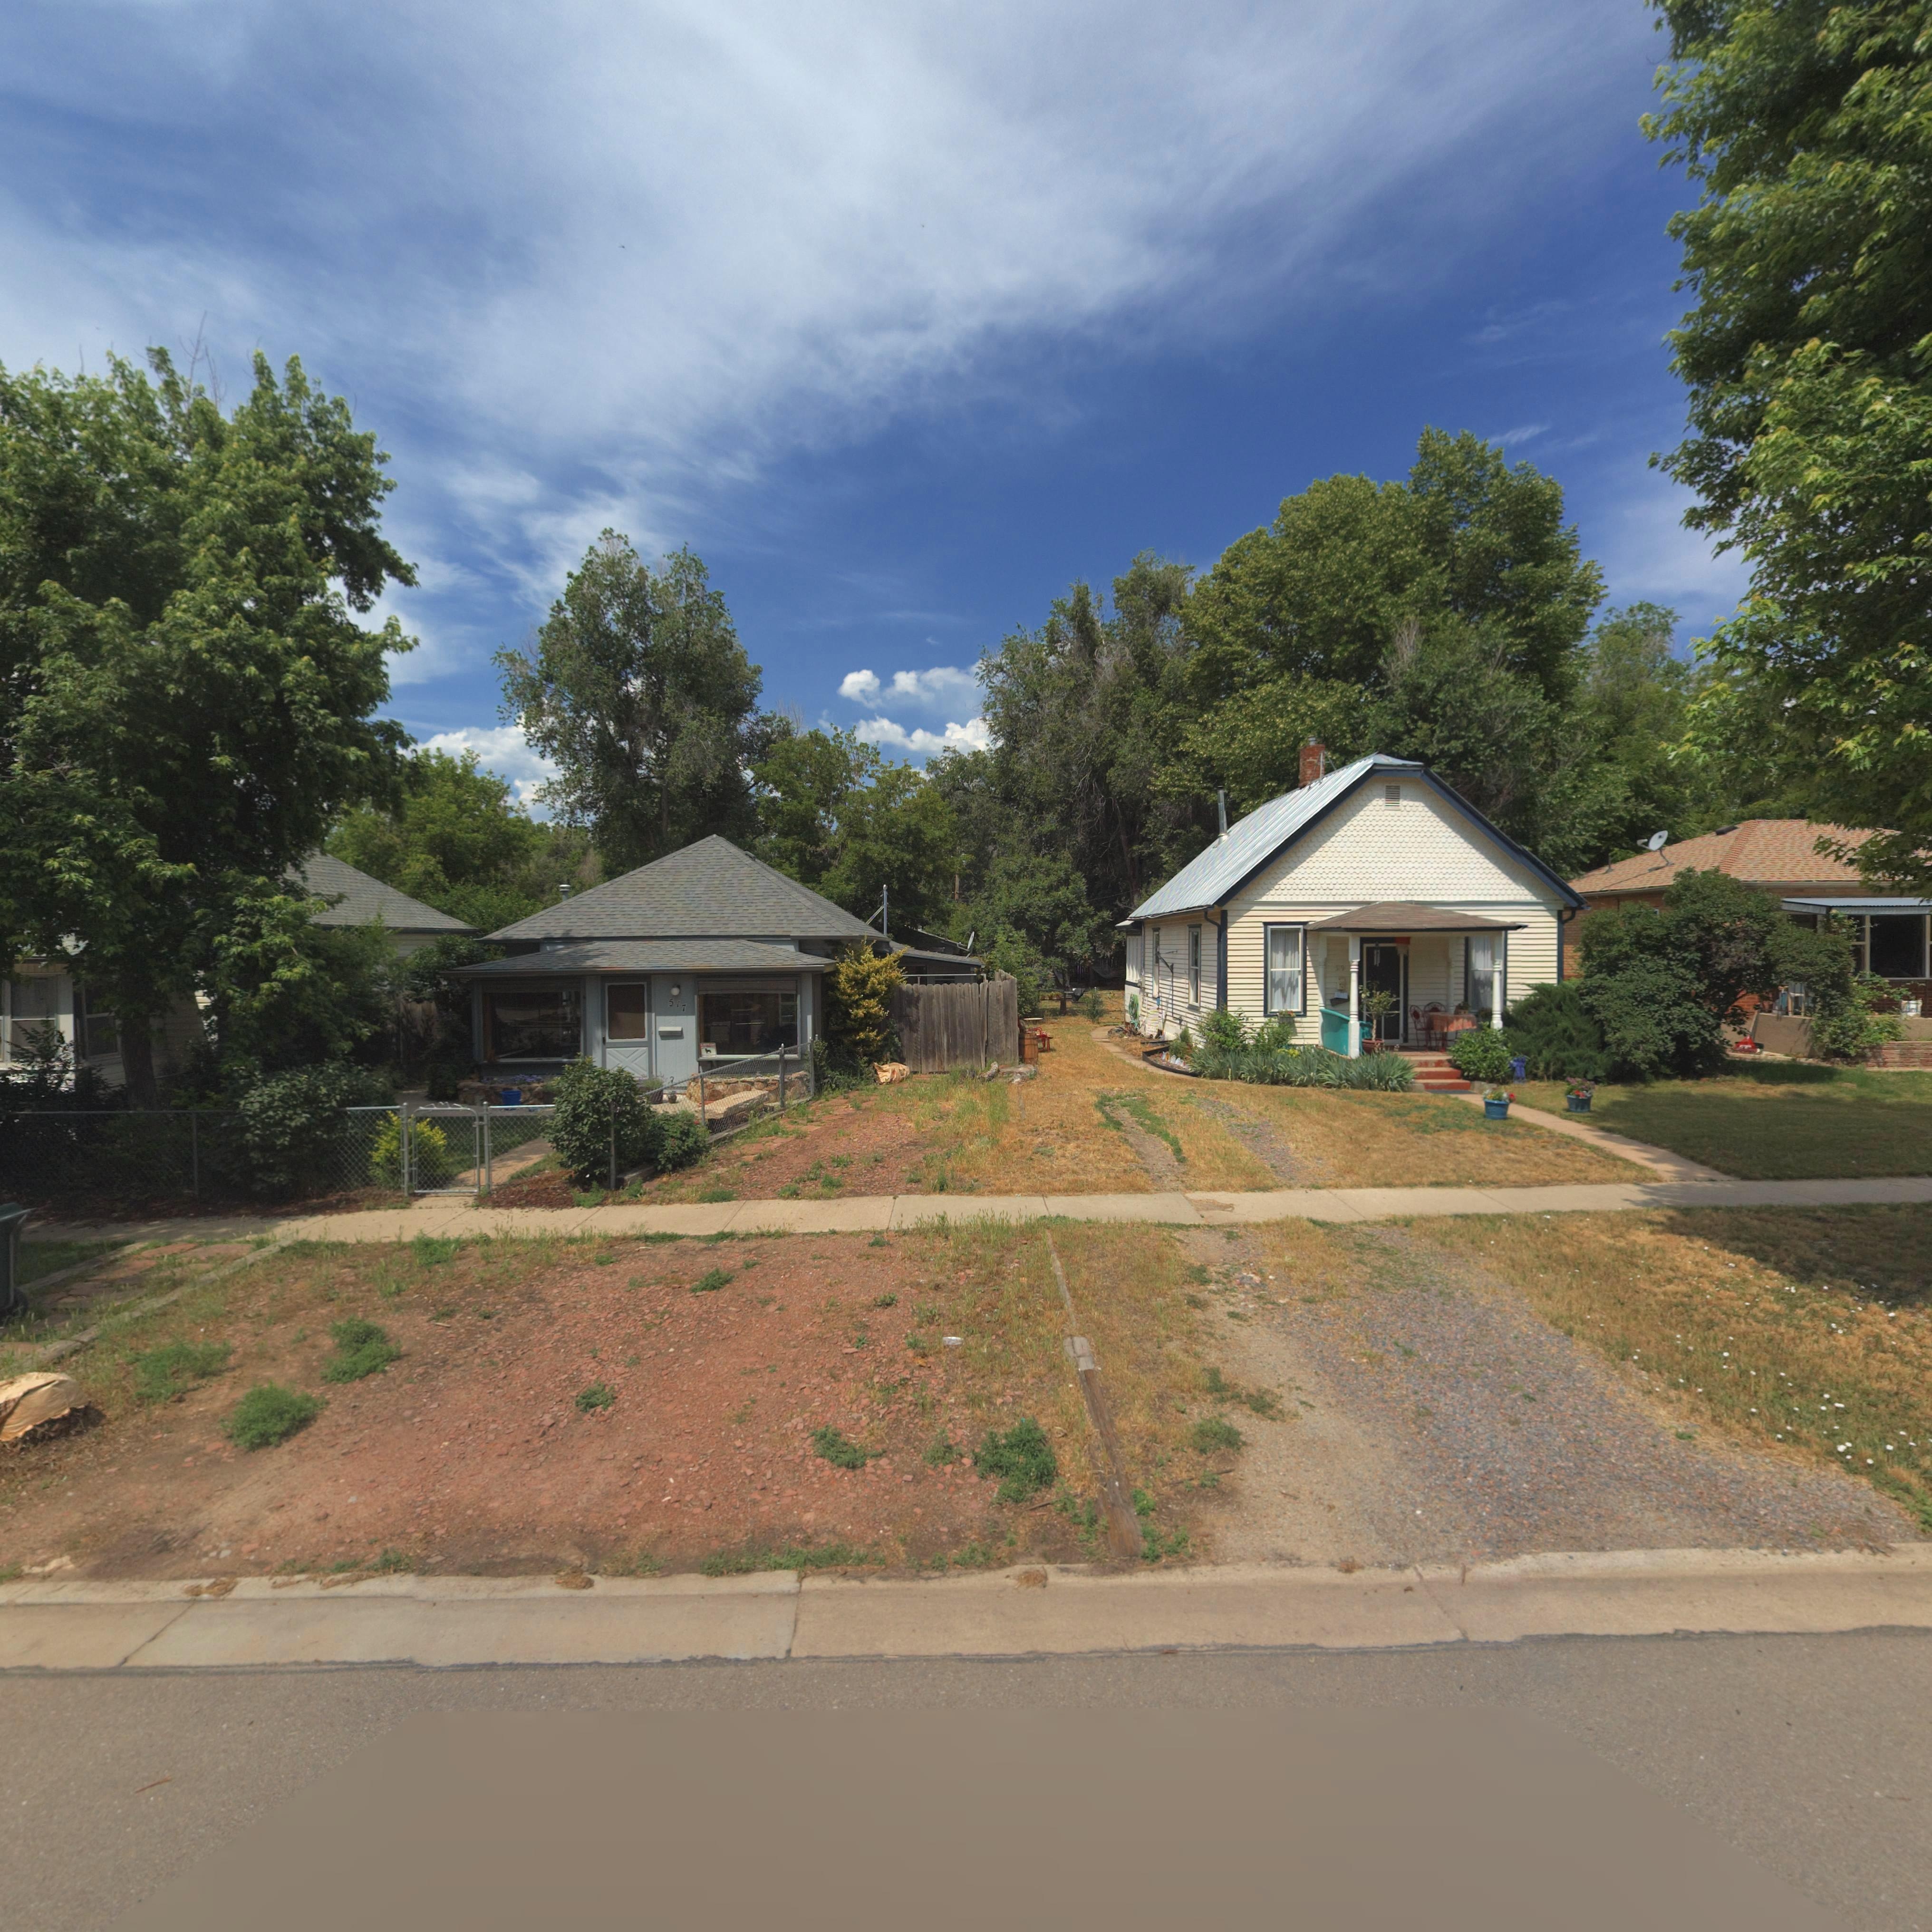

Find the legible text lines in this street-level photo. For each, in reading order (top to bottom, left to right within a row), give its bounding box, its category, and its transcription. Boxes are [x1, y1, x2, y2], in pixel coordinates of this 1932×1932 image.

[1334, 965, 1345, 971] StreetNumber: 59
[668, 998, 687, 1012] StreetNumber: 517